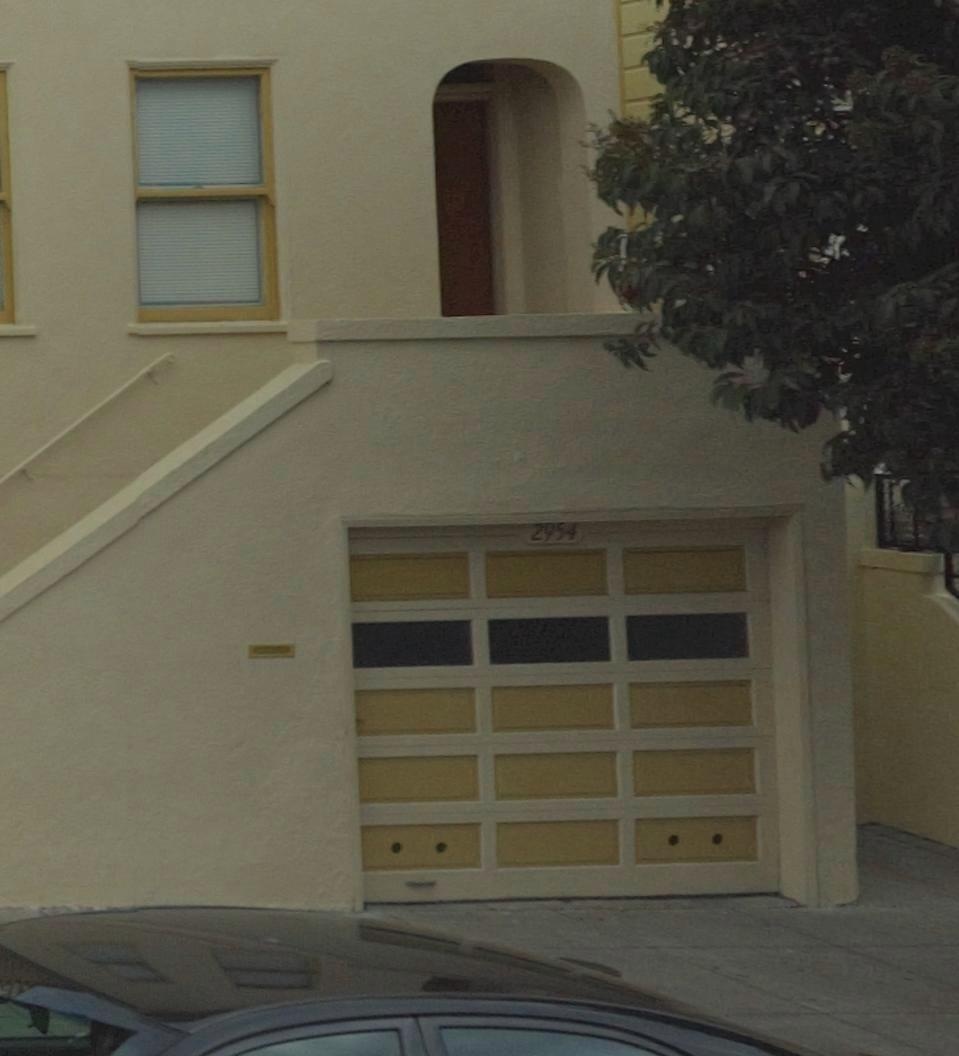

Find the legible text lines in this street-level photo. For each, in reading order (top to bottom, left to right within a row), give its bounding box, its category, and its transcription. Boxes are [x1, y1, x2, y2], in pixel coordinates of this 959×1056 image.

[527, 521, 580, 542] StreetNumber: 2954